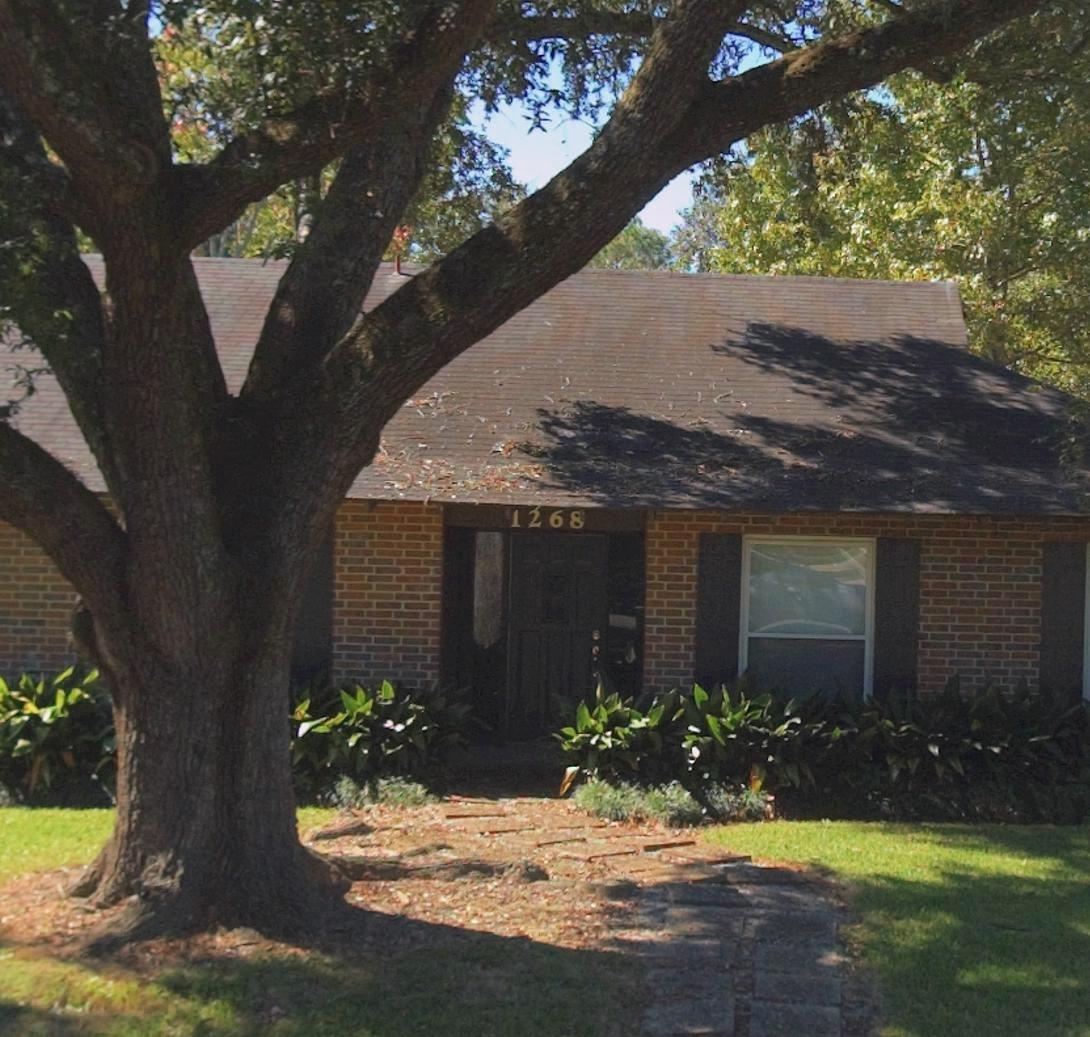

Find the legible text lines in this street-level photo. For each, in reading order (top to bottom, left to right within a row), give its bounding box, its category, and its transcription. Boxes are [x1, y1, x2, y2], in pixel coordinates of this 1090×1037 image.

[508, 507, 587, 531] StreetNumber: 1268